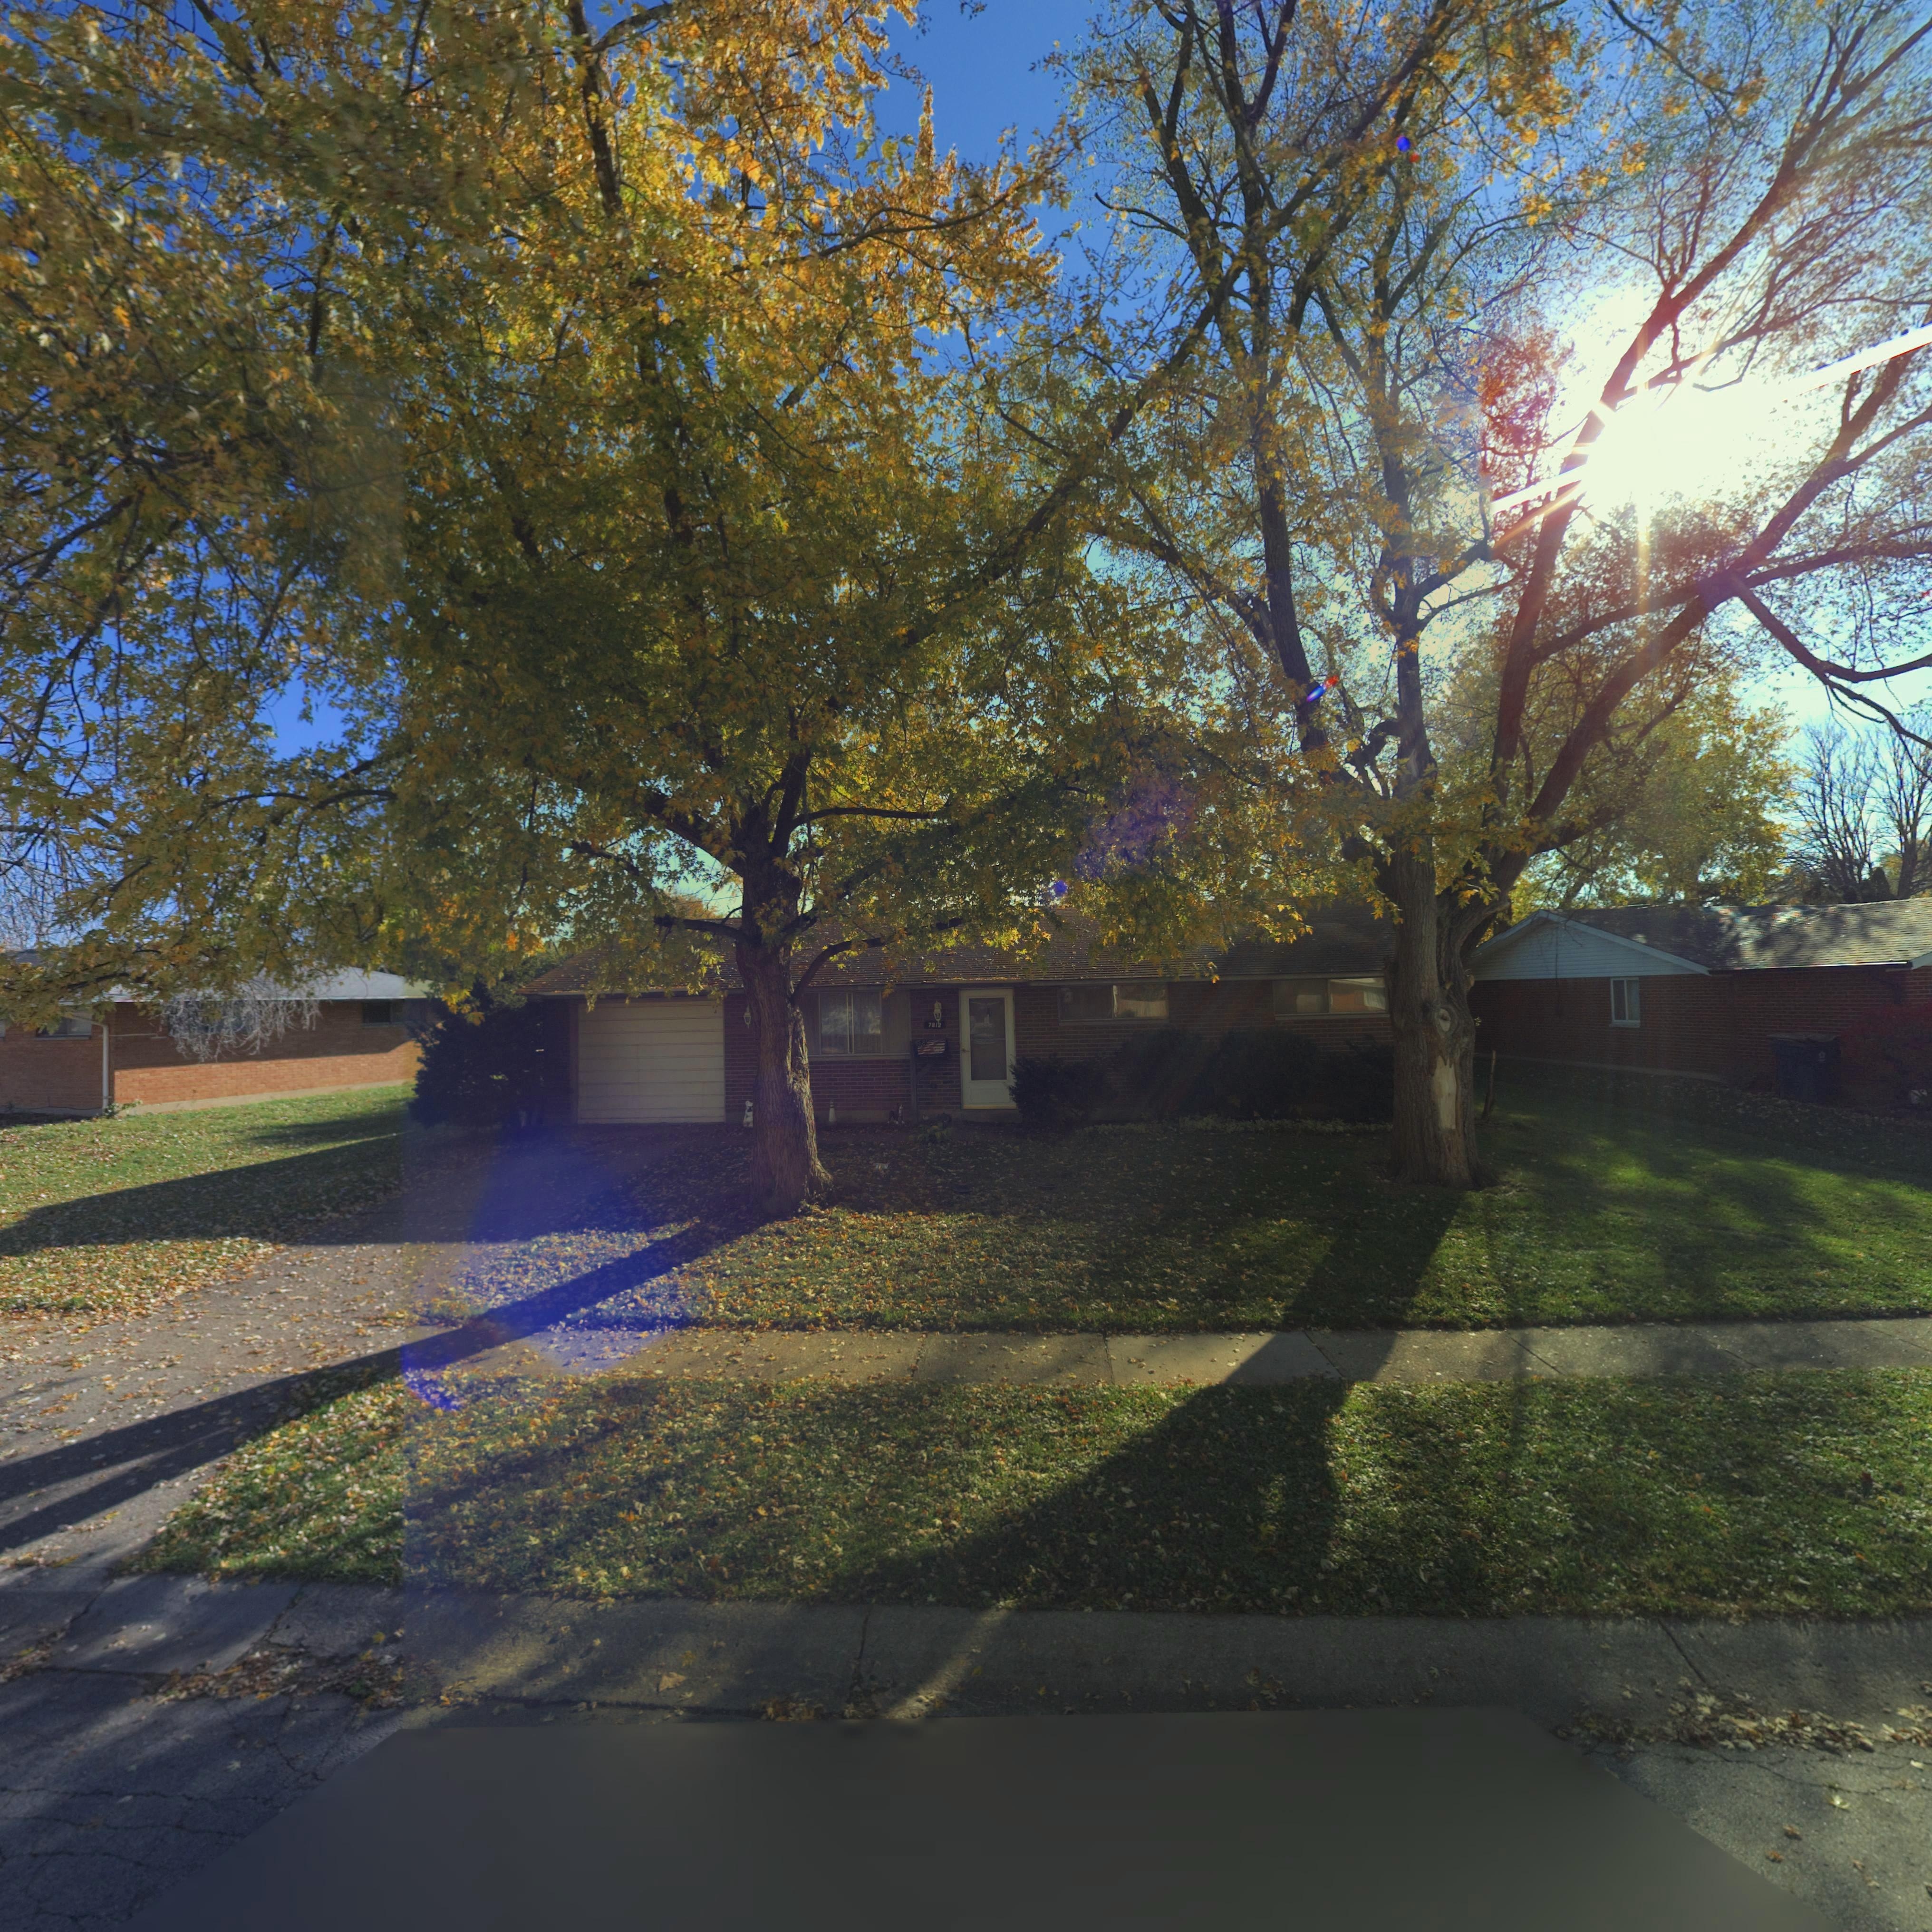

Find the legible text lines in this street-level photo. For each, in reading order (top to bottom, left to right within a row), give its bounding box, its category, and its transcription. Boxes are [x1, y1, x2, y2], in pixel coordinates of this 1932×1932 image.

[927, 1022, 942, 1028] StreetNumber: 7812